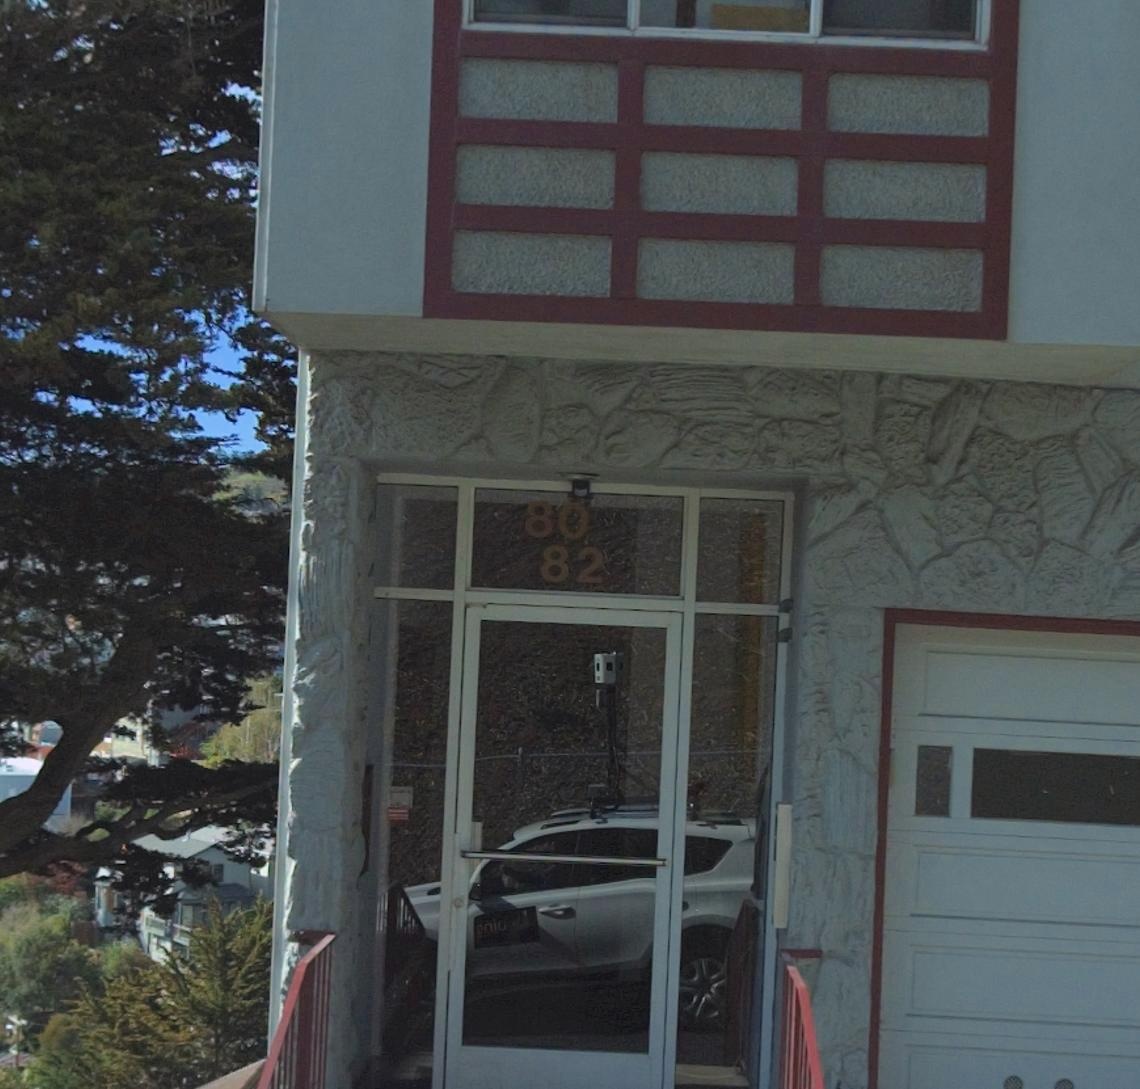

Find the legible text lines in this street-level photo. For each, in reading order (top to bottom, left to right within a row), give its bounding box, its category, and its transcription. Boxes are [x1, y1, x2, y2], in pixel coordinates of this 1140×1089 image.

[523, 499, 591, 541] StreetNumber: 80
[537, 542, 607, 586] StreetNumber: 82